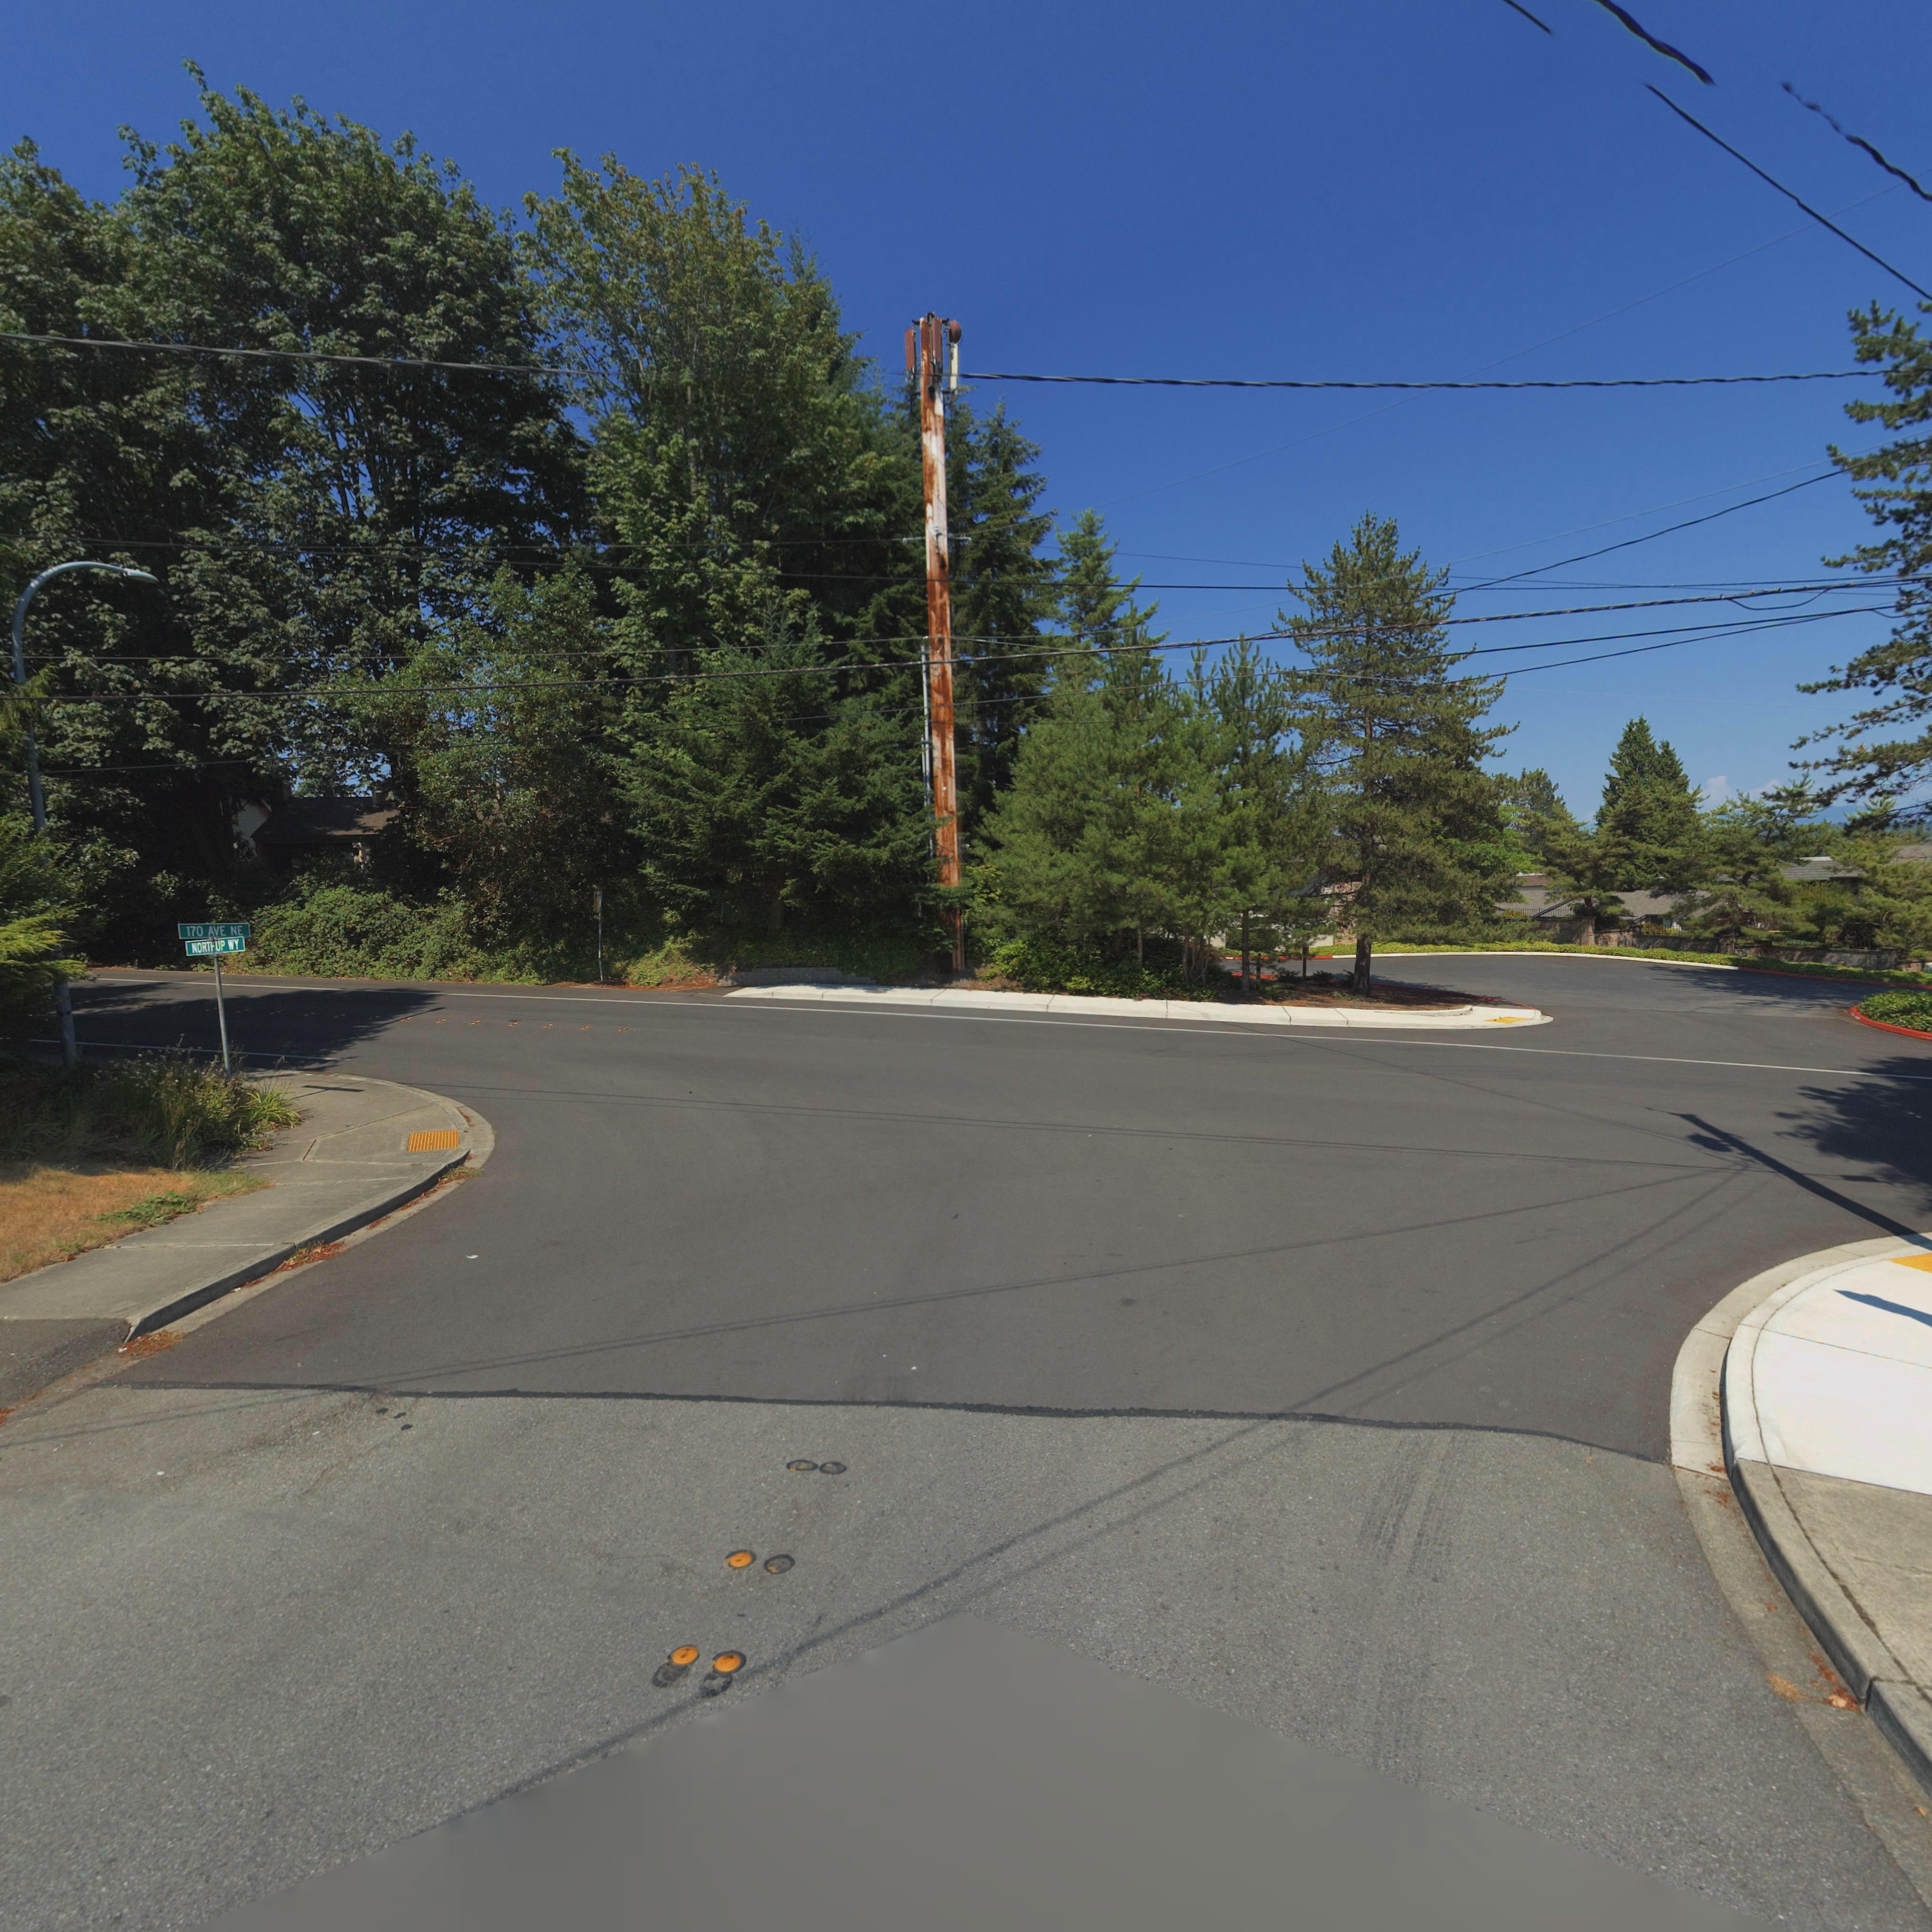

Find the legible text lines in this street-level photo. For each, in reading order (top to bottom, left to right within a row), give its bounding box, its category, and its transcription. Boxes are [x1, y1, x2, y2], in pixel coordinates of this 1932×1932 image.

[186, 924, 243, 937] StreetName: 170 AVE NE
[191, 938, 240, 954] StreetName: NORTHUP WY